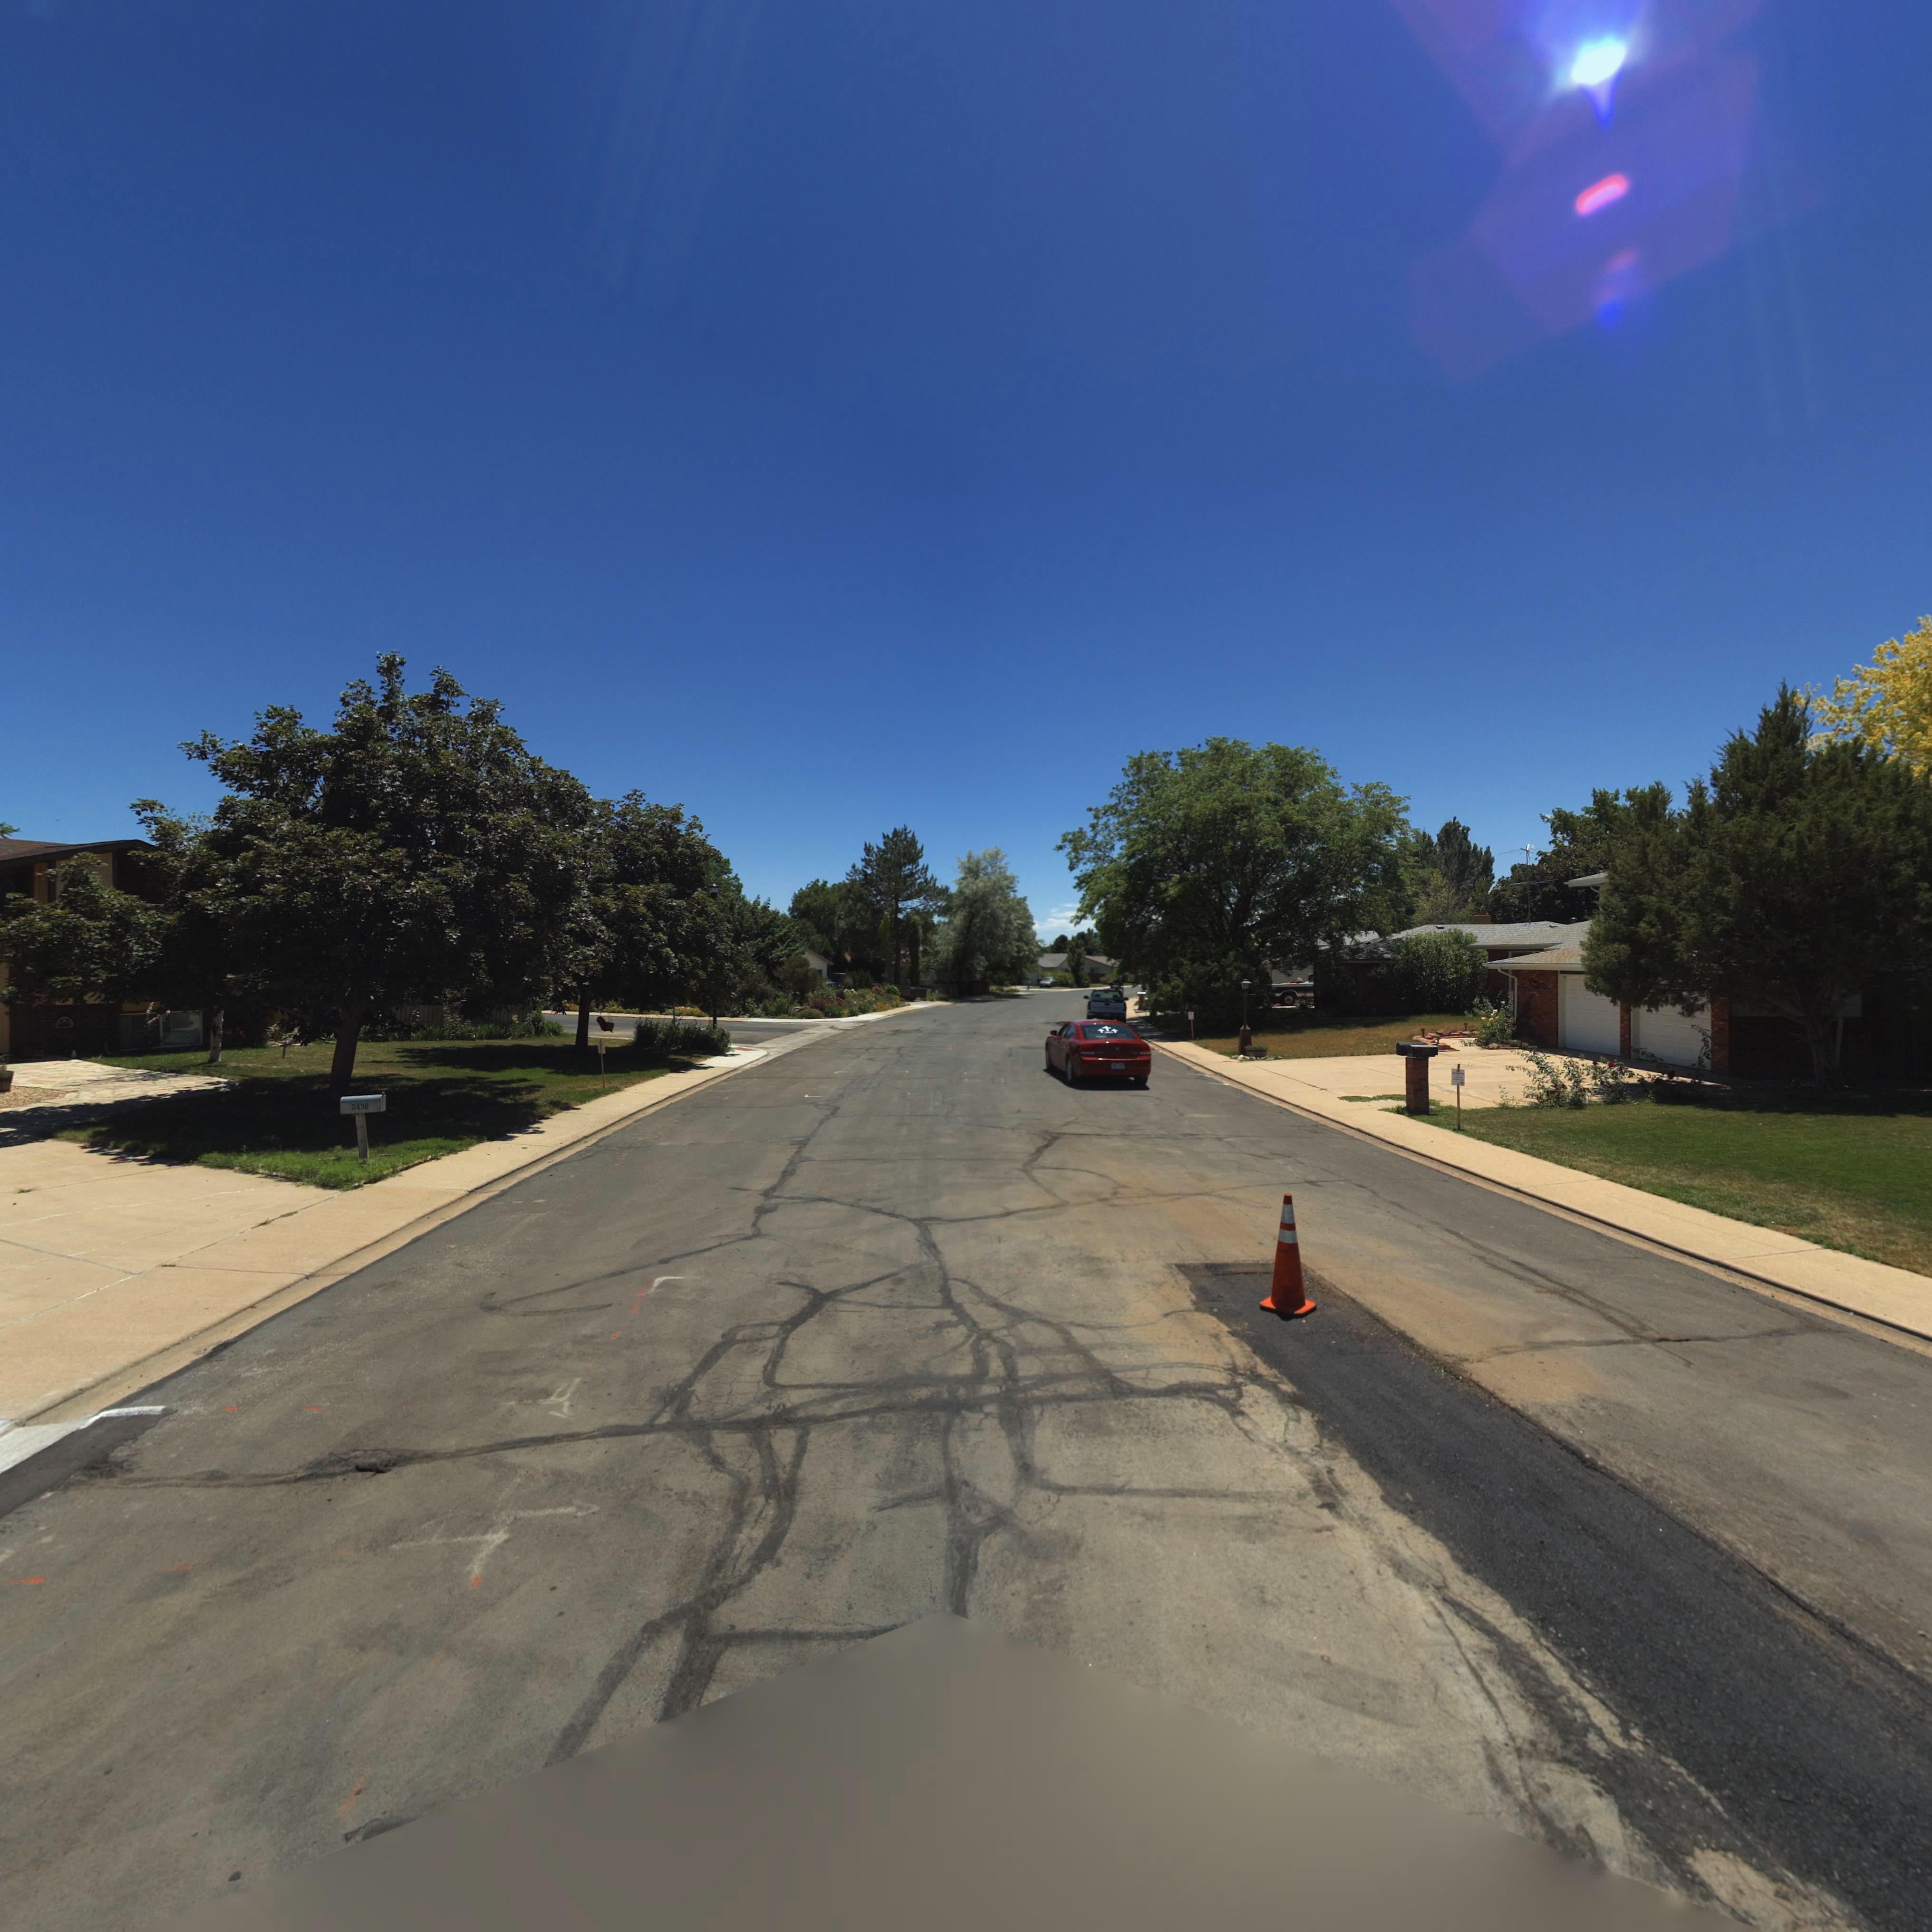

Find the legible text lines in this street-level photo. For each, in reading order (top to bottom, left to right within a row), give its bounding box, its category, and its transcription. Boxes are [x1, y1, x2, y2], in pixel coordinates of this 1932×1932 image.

[351, 1102, 368, 1110] StreetNumber: 2430